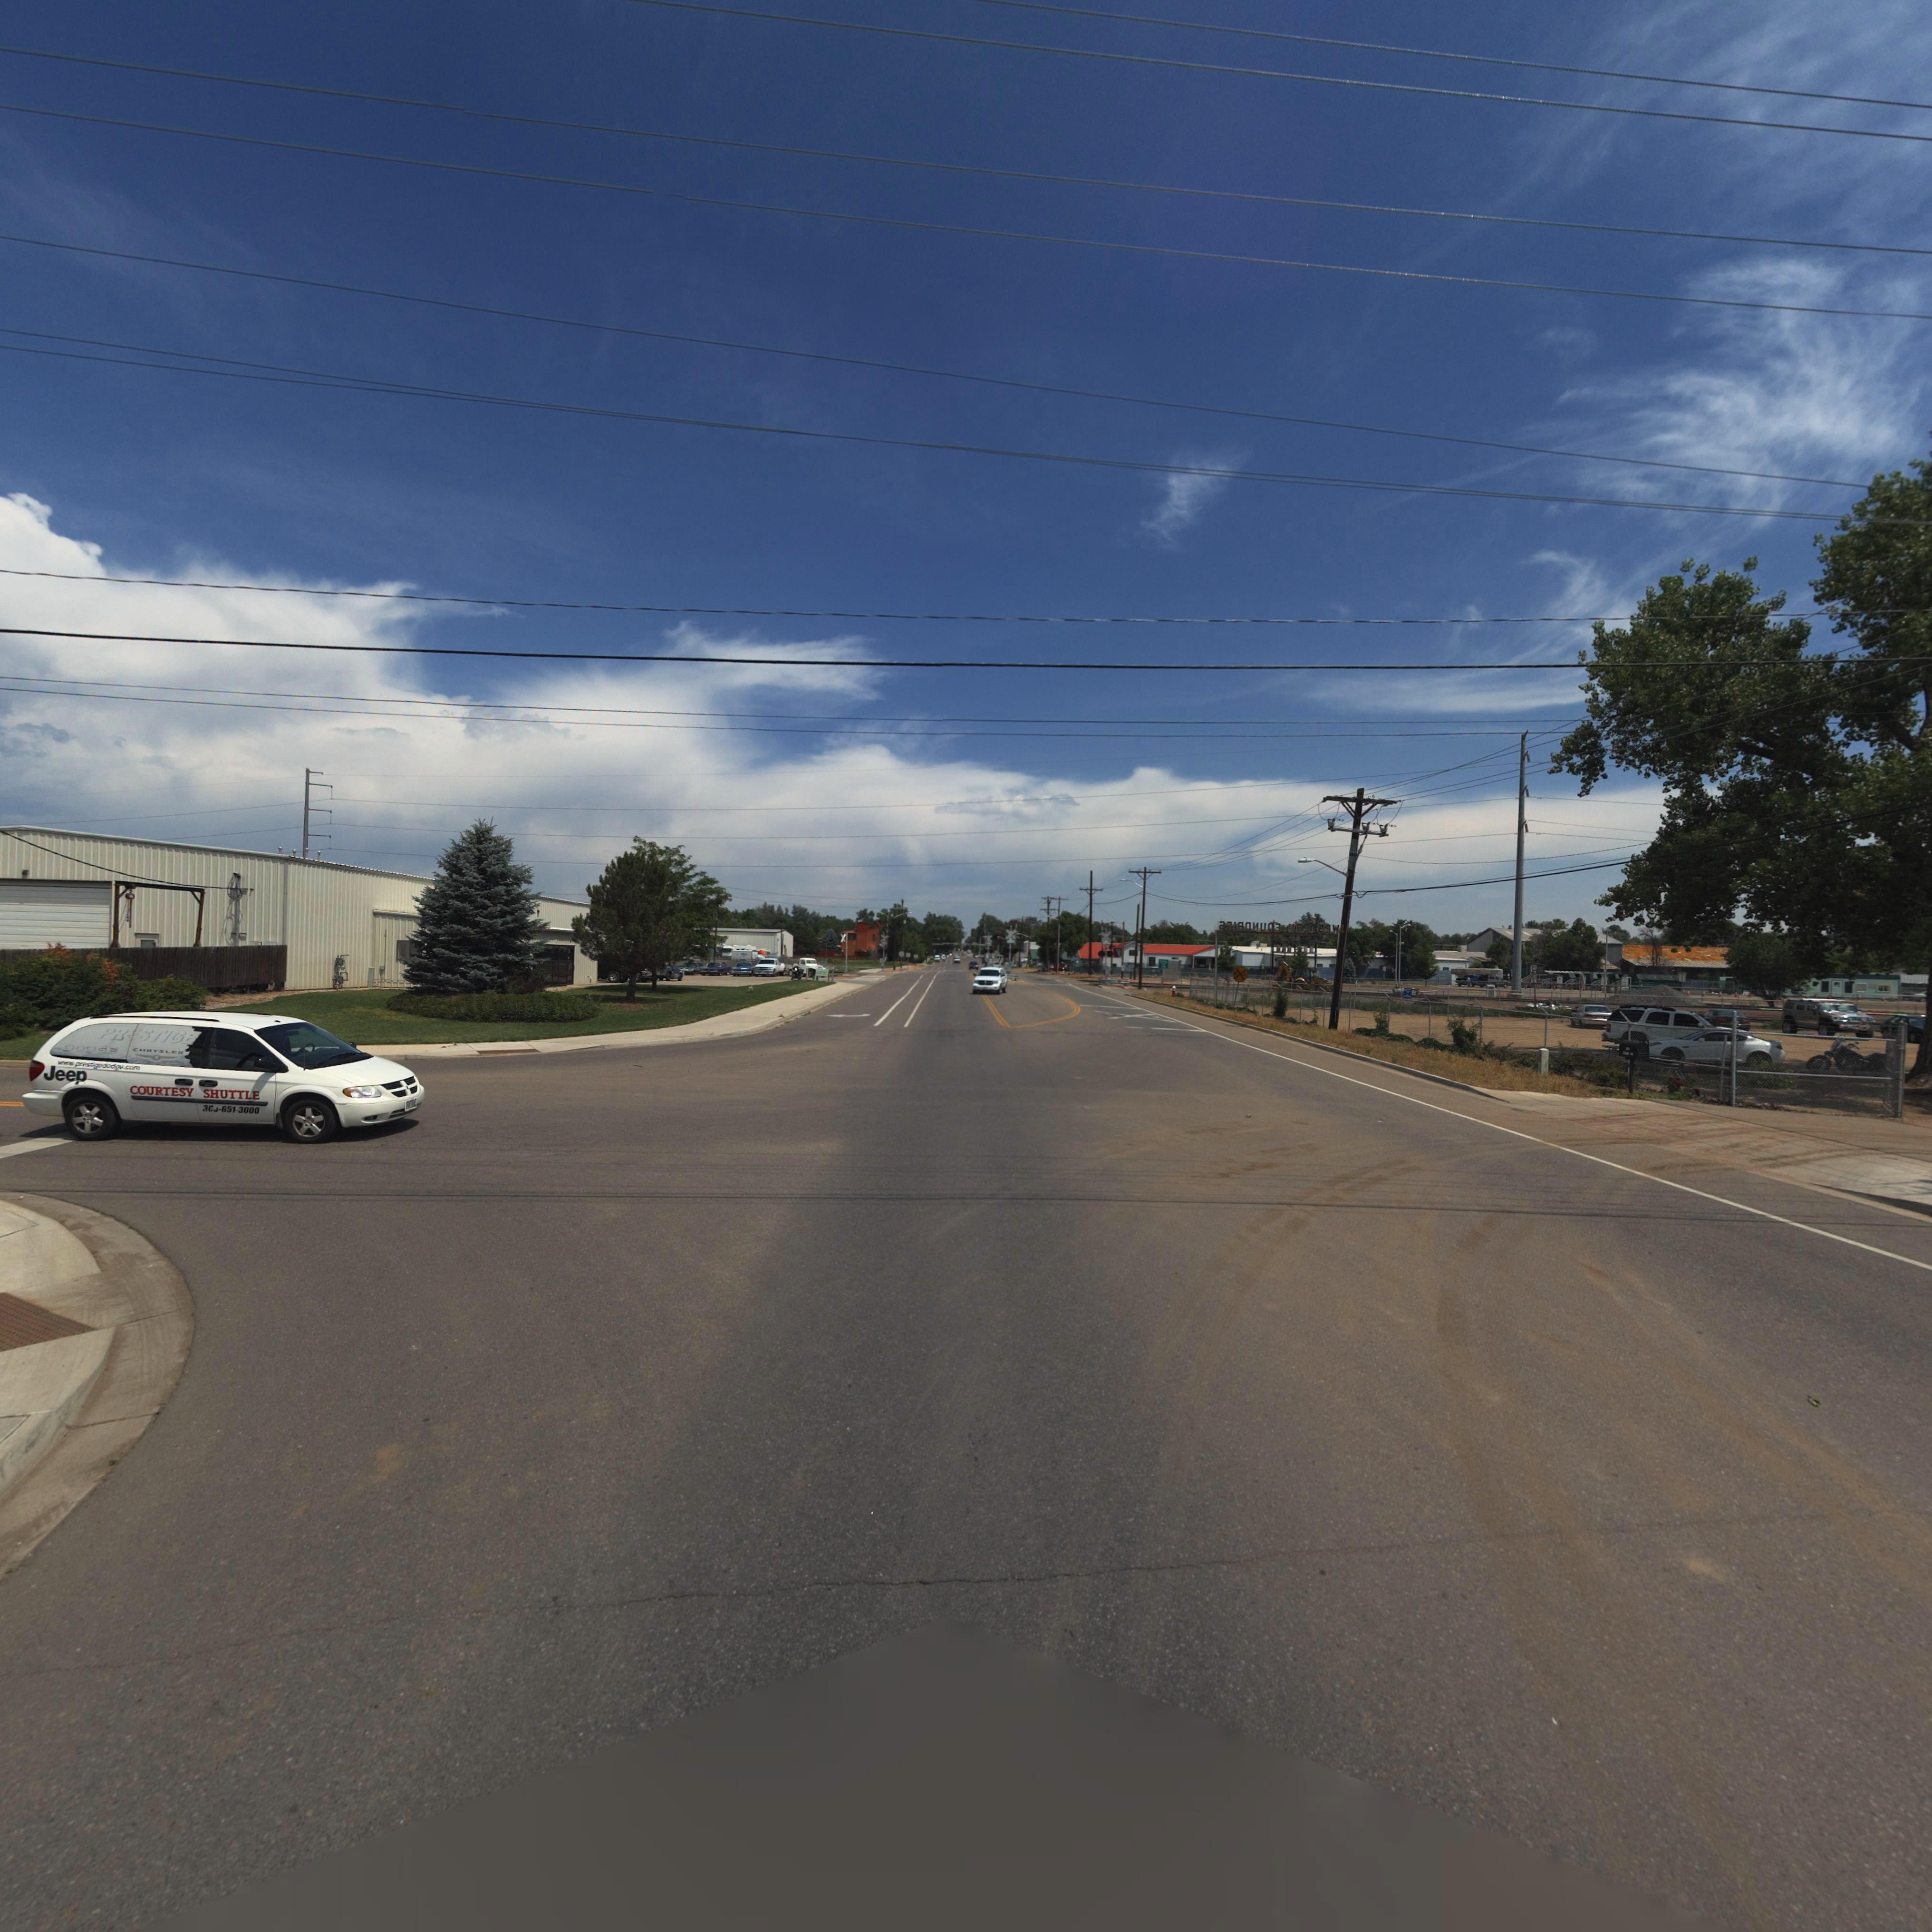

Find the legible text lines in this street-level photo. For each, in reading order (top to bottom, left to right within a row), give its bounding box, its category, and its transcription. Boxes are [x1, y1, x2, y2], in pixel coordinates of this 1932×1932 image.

[1218, 920, 1340, 934] BusinessName: **I***U** ***T***